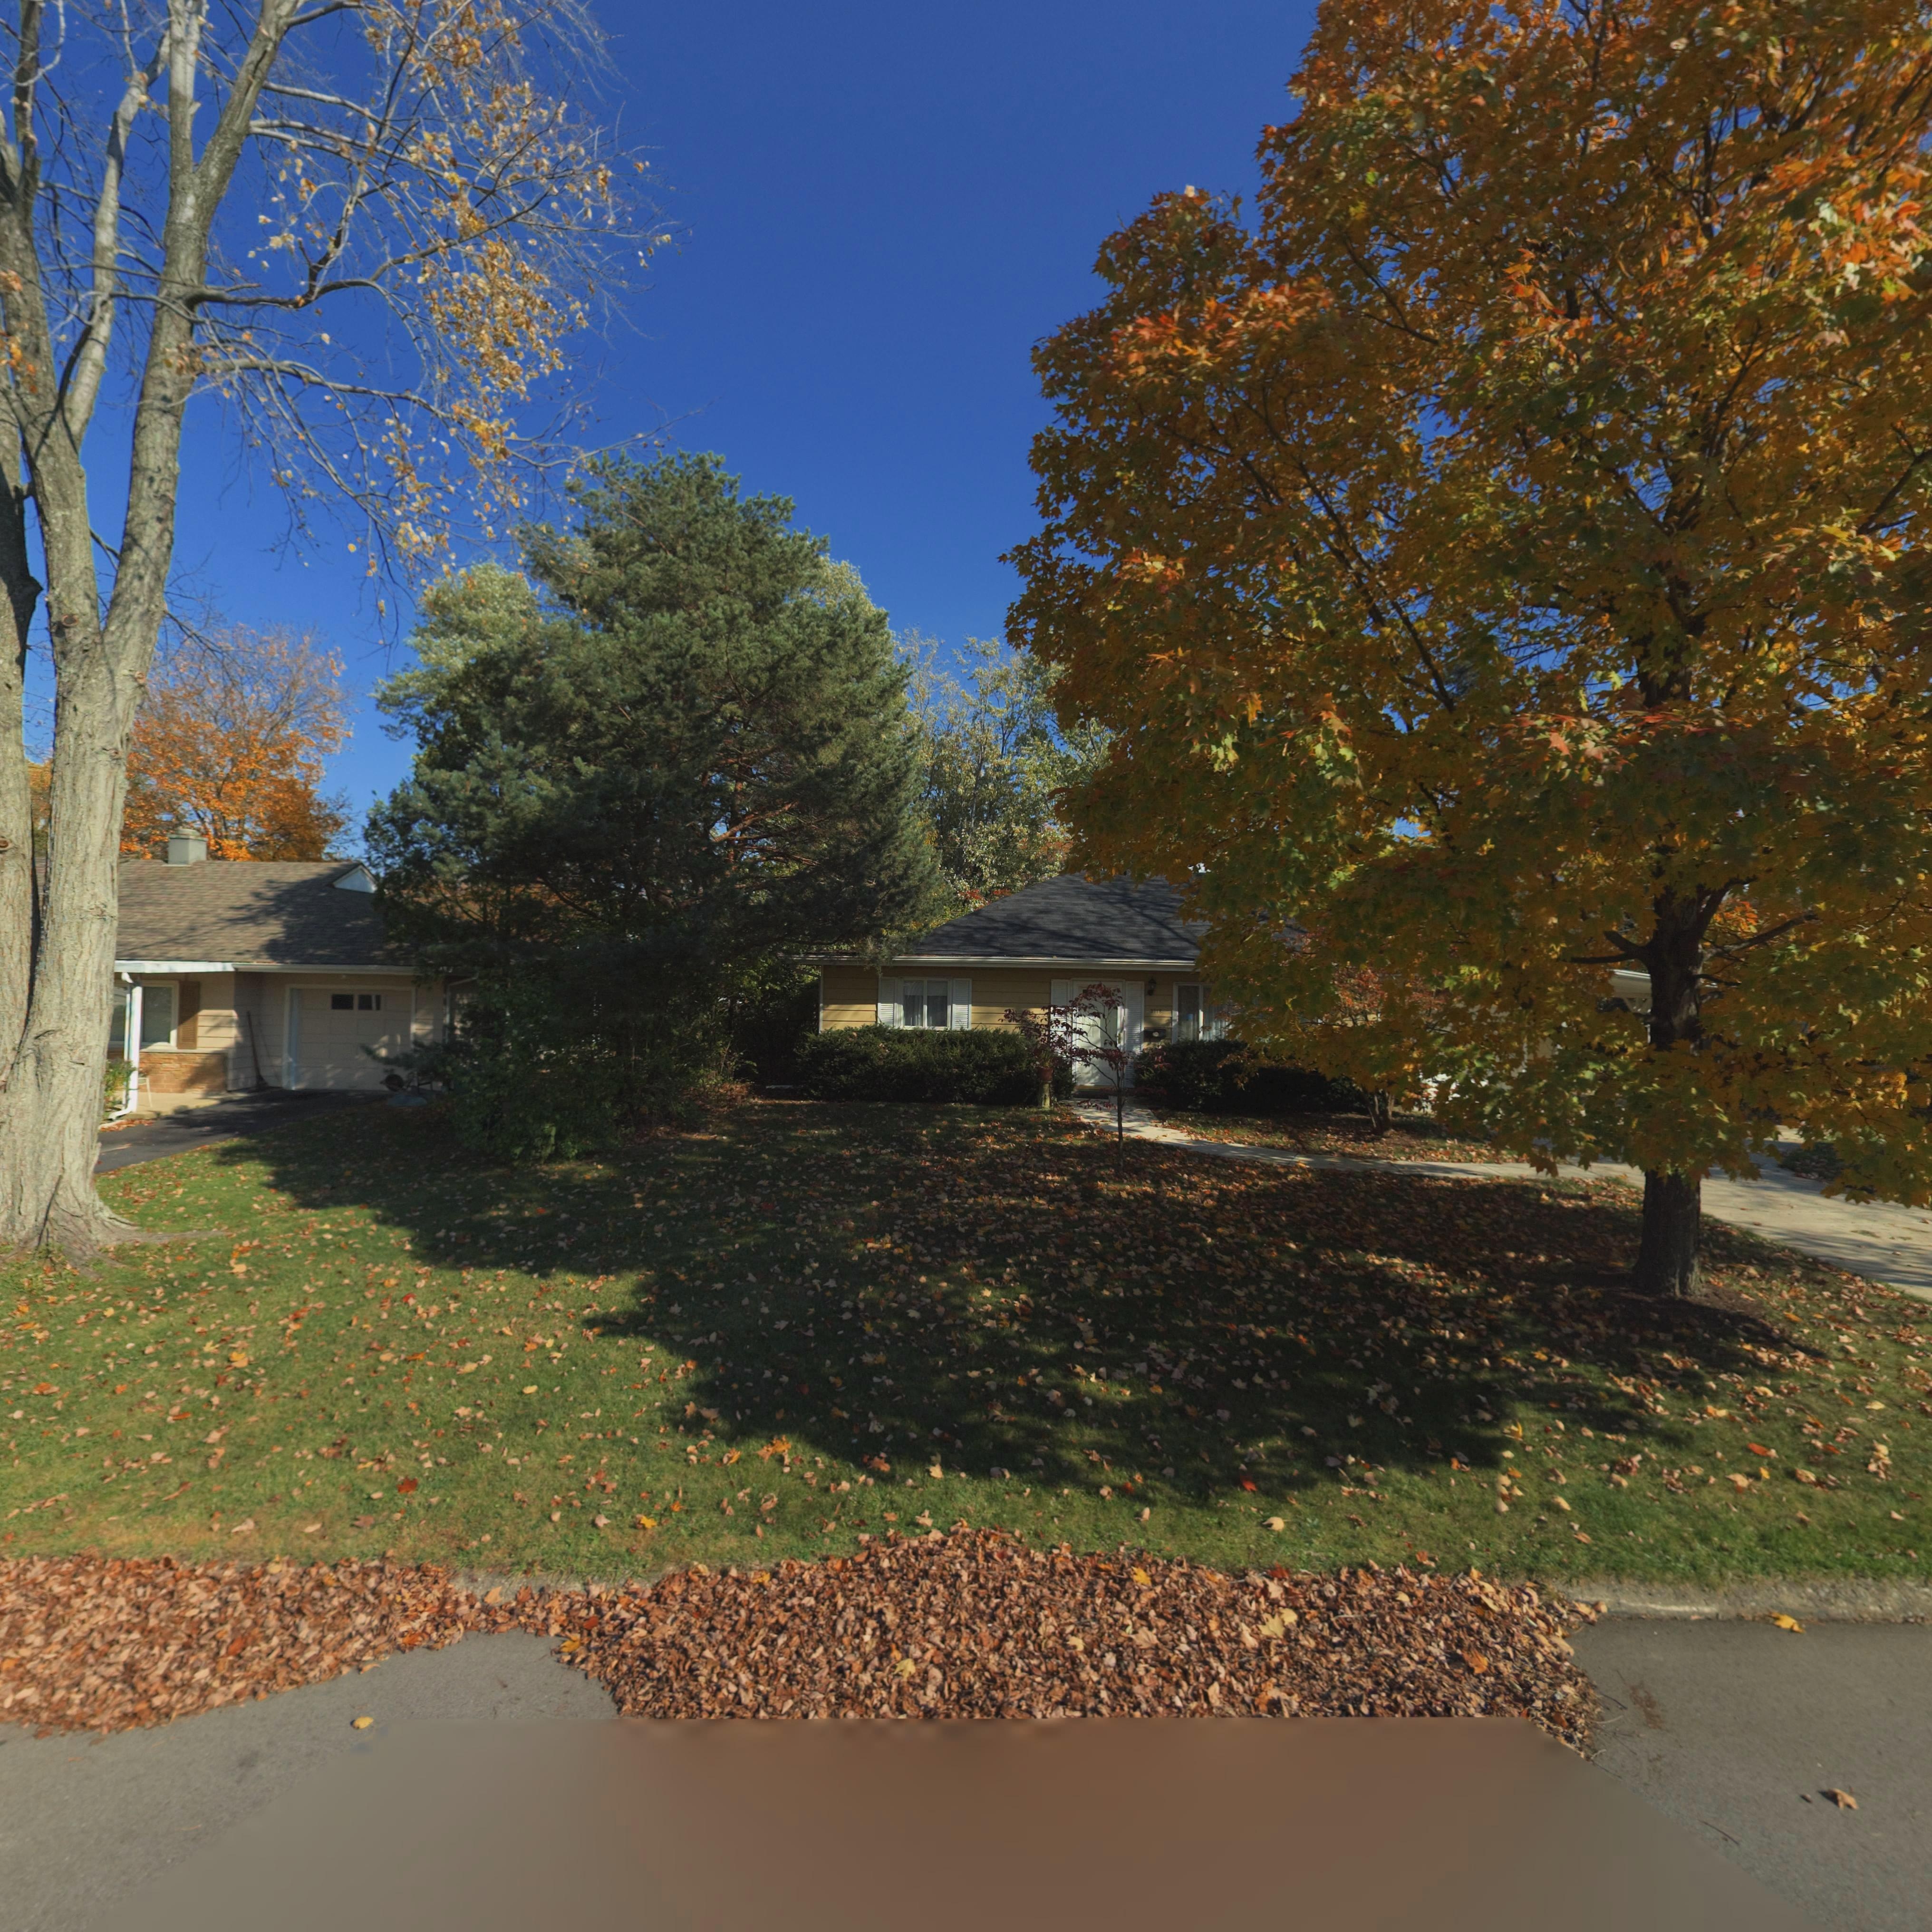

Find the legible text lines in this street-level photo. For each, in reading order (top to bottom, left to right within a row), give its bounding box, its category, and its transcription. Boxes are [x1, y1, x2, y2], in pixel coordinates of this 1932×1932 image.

[1150, 1008, 1162, 1014] StreetNumber: 3718